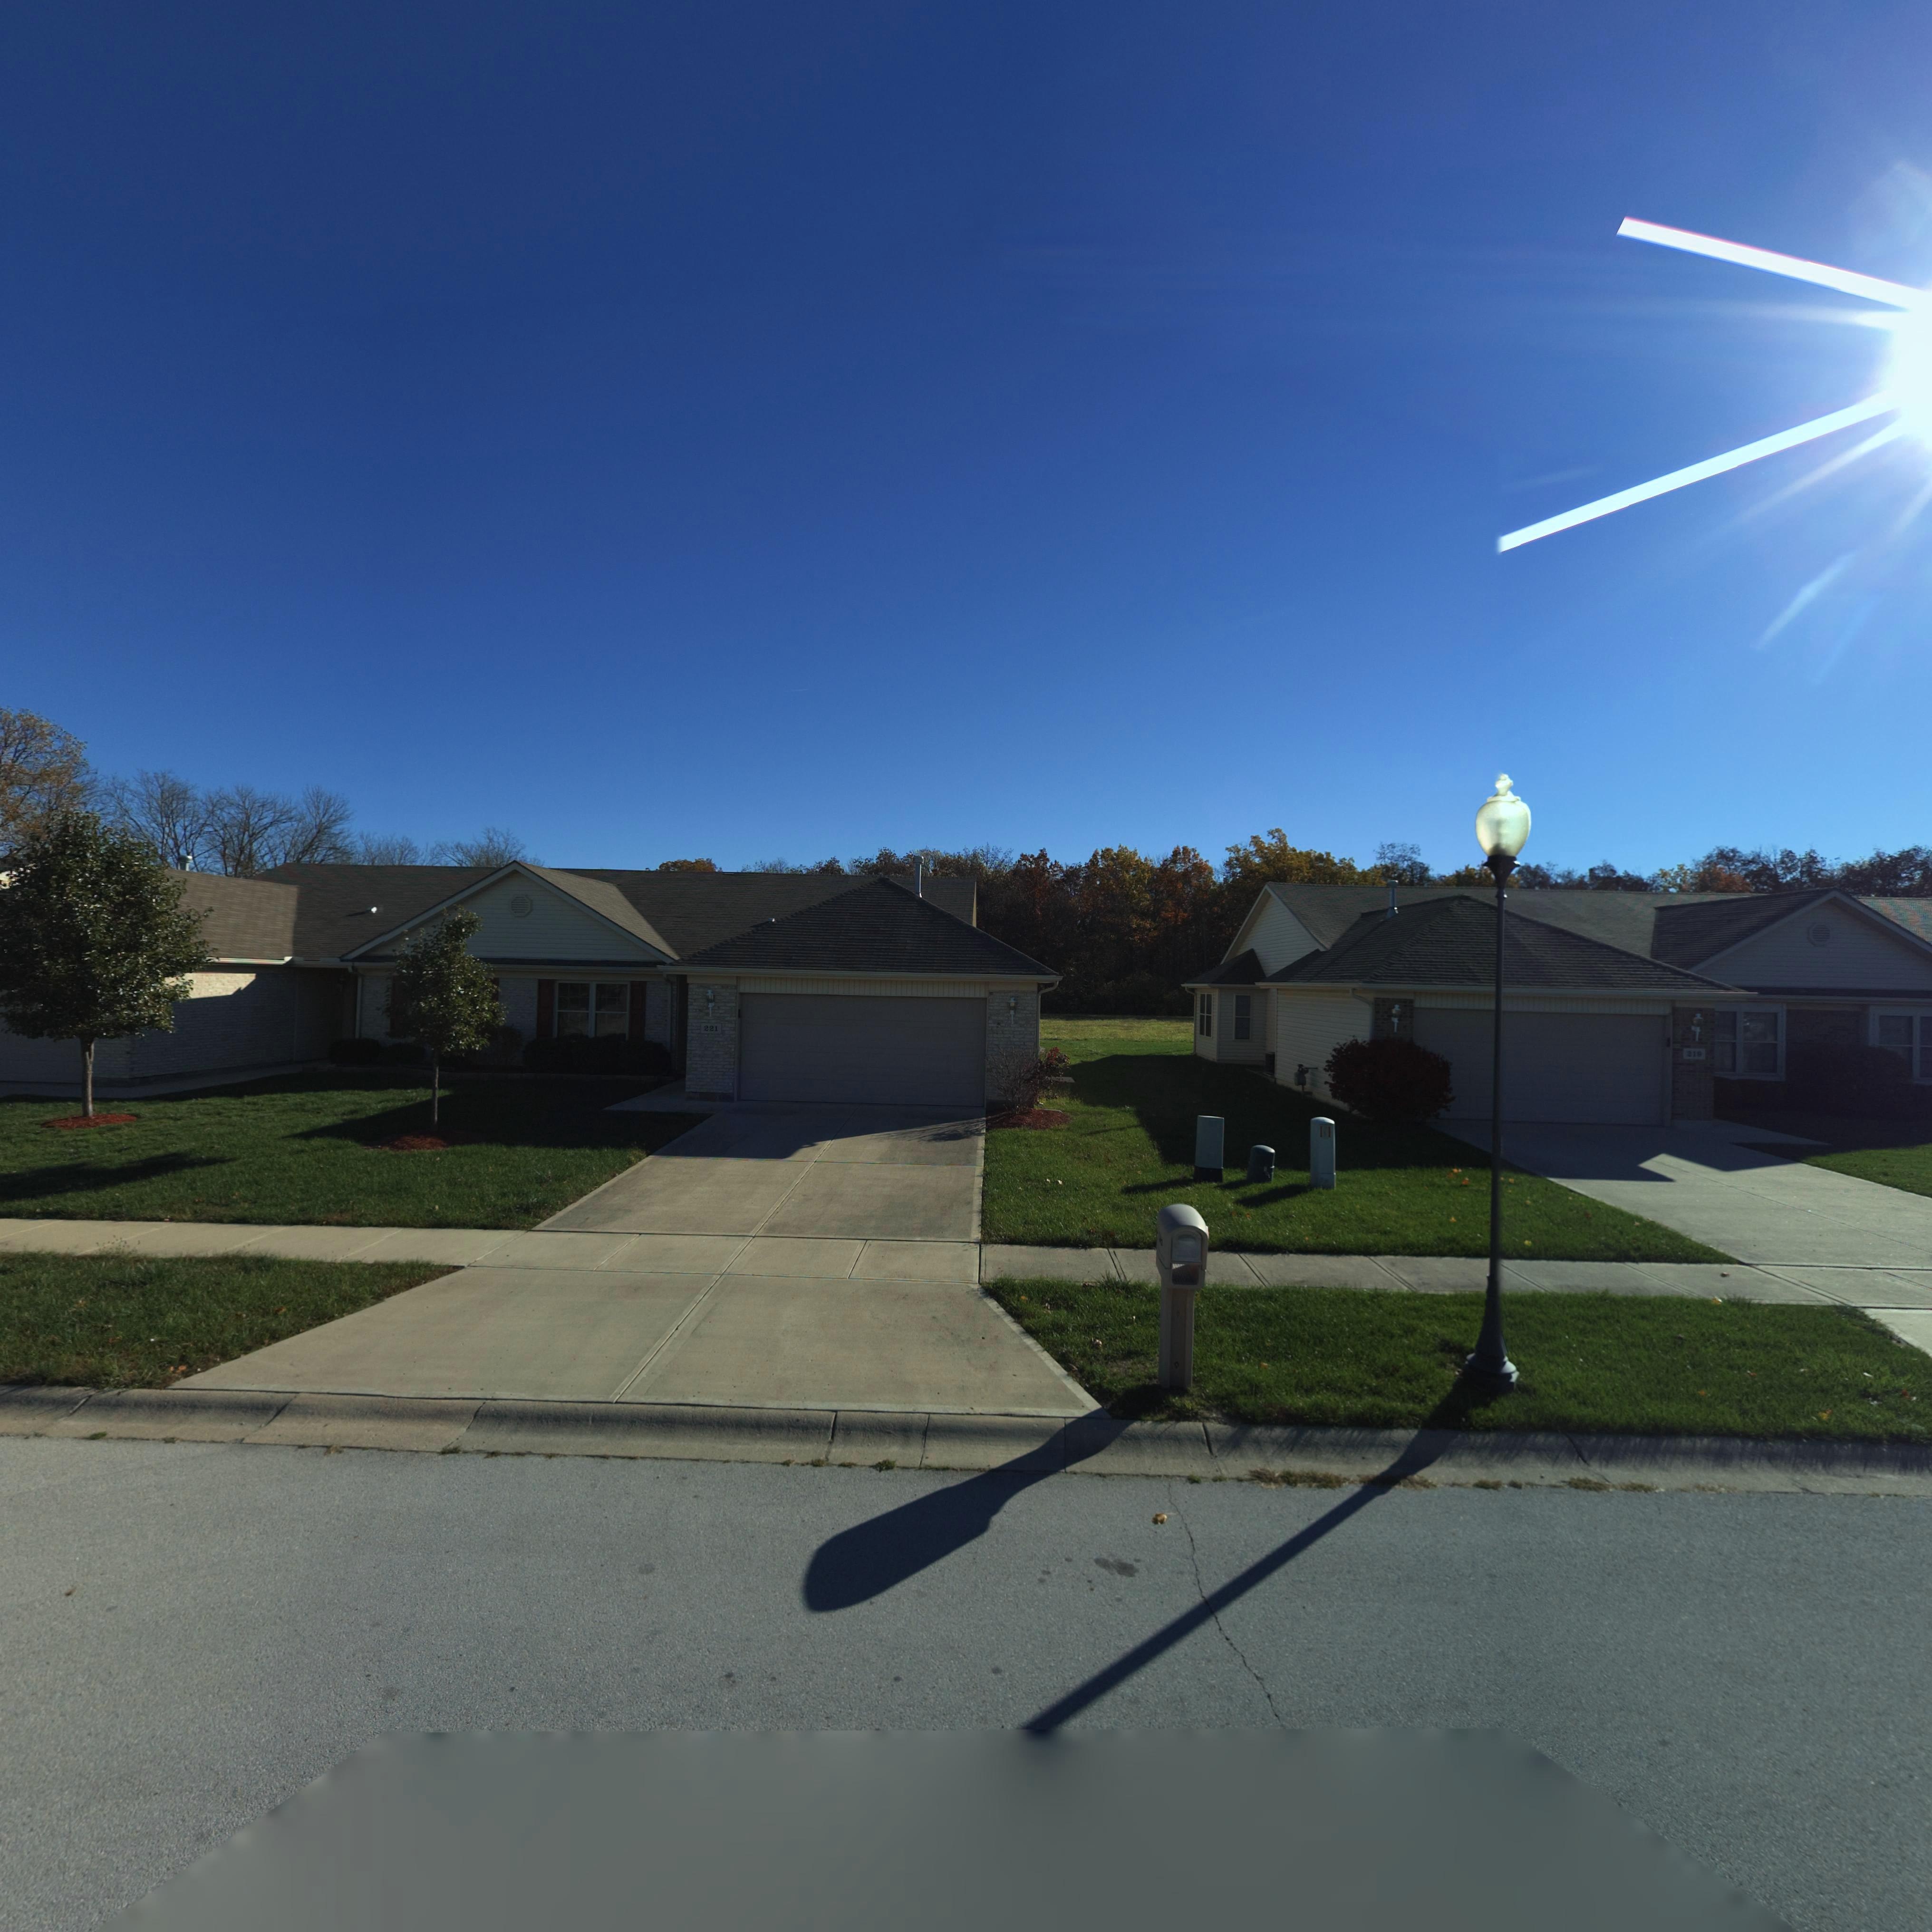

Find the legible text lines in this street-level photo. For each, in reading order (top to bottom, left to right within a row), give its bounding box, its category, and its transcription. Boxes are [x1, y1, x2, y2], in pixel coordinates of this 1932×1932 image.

[703, 1024, 719, 1033] StreetNumber: 221
[1685, 1050, 1703, 1058] StreetNumber: 219